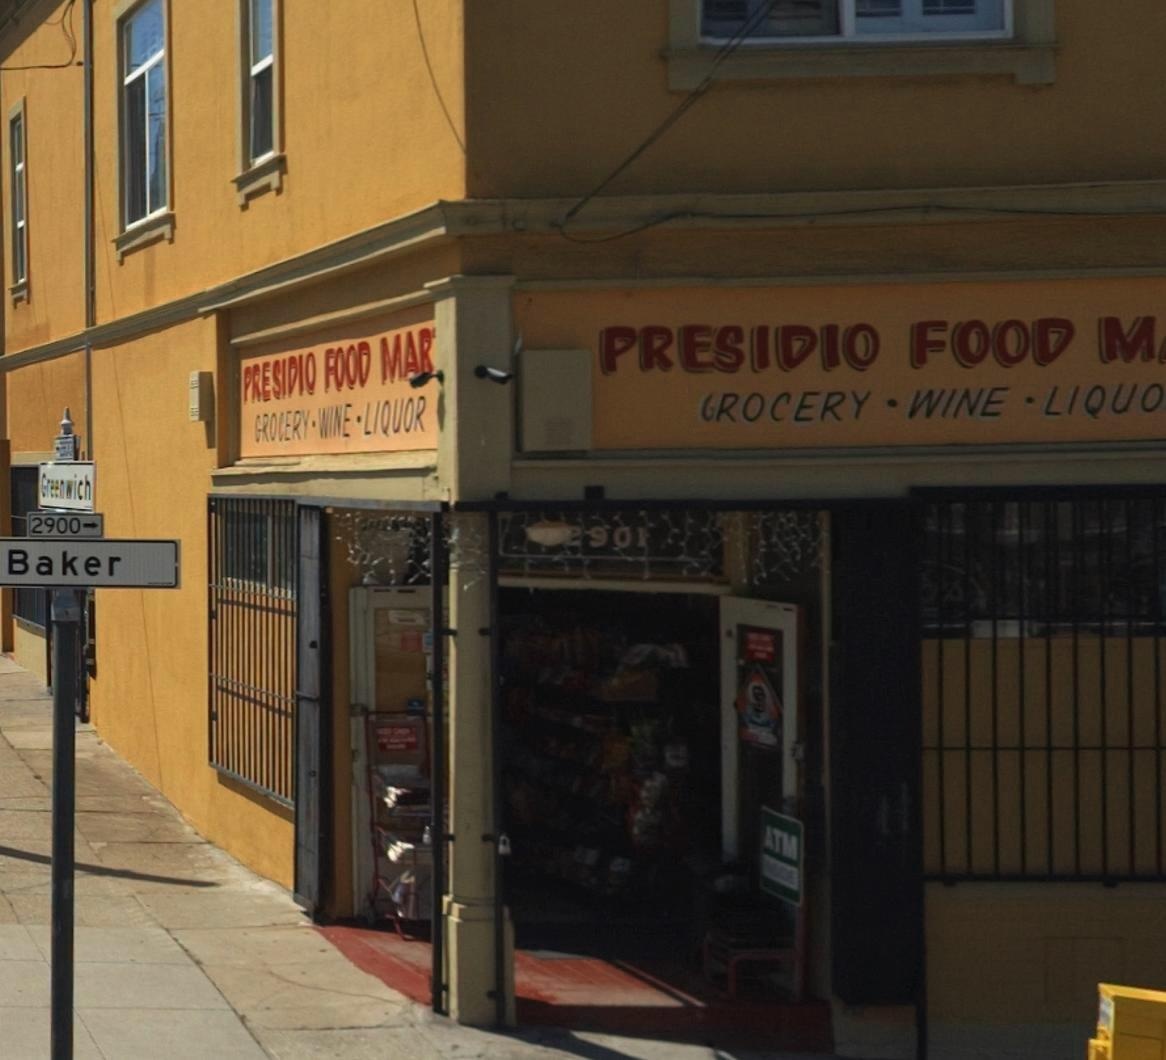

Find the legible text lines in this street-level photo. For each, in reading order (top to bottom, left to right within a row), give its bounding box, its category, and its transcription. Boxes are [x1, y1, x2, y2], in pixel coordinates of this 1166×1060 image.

[601, 313, 1157, 376] BusinessName: PRESIDIO FOOD M
[242, 325, 435, 404] BusinessName: PRESIDIO FOOD MAR
[252, 393, 430, 445] None: GROCERY * WINE * LIQUOR
[697, 382, 1166, 424] None: GROCERY * WINE * LIQUO
[54, 440, 74, 458] StreetNumberRange: <-***
[40, 472, 92, 502] StreetName: Greenwich
[30, 516, 99, 534] StreetNumberRange: 2900->
[566, 525, 647, 548] StreetNumber: 2901
[6, 548, 122, 578] StreetName: Baker
[762, 824, 799, 863] None: ATM